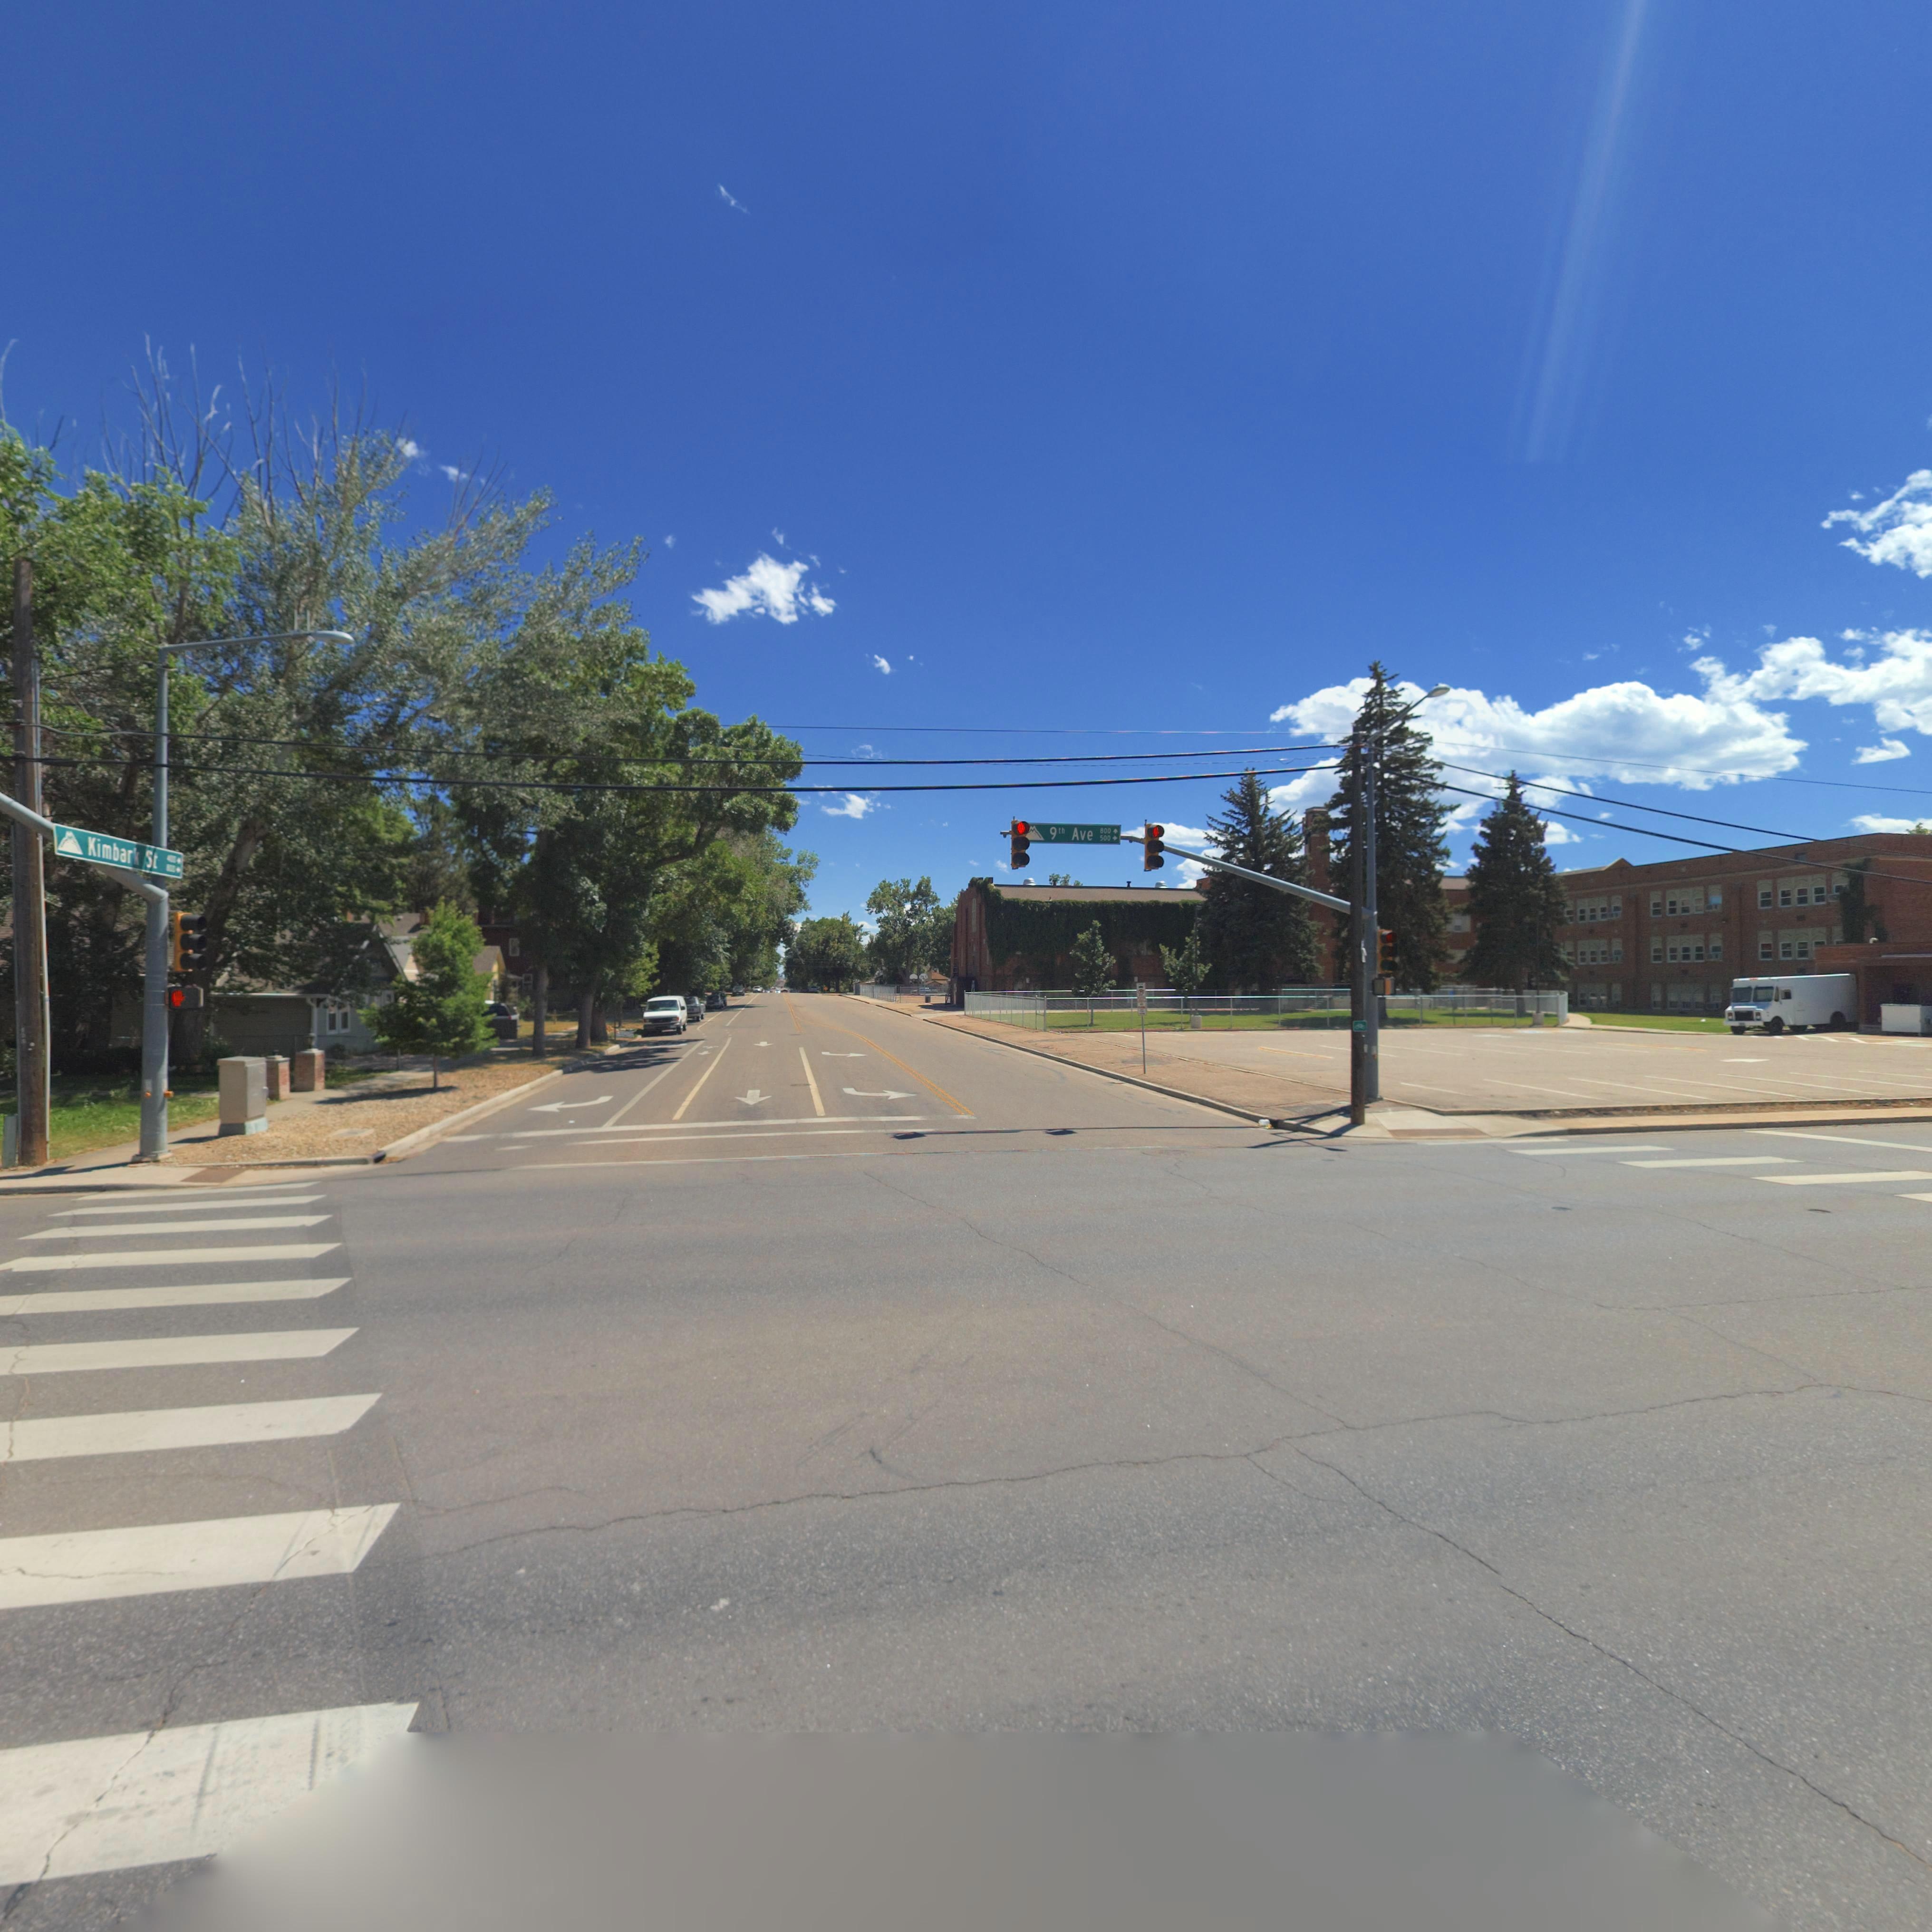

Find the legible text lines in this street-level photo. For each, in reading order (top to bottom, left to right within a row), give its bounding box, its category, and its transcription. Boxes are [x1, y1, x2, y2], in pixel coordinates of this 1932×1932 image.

[1049, 826, 1093, 841] StreetName: 9th Ave
[1100, 827, 1111, 834] StreetNumberRange: 800
[1099, 834, 1118, 841] StreetNumberRange: 500->
[87, 835, 159, 869] StreetName: Kimbark St
[166, 854, 177, 864] StreetNumberRange: 400
[165, 863, 182, 874] StreetNumberRange: *00->